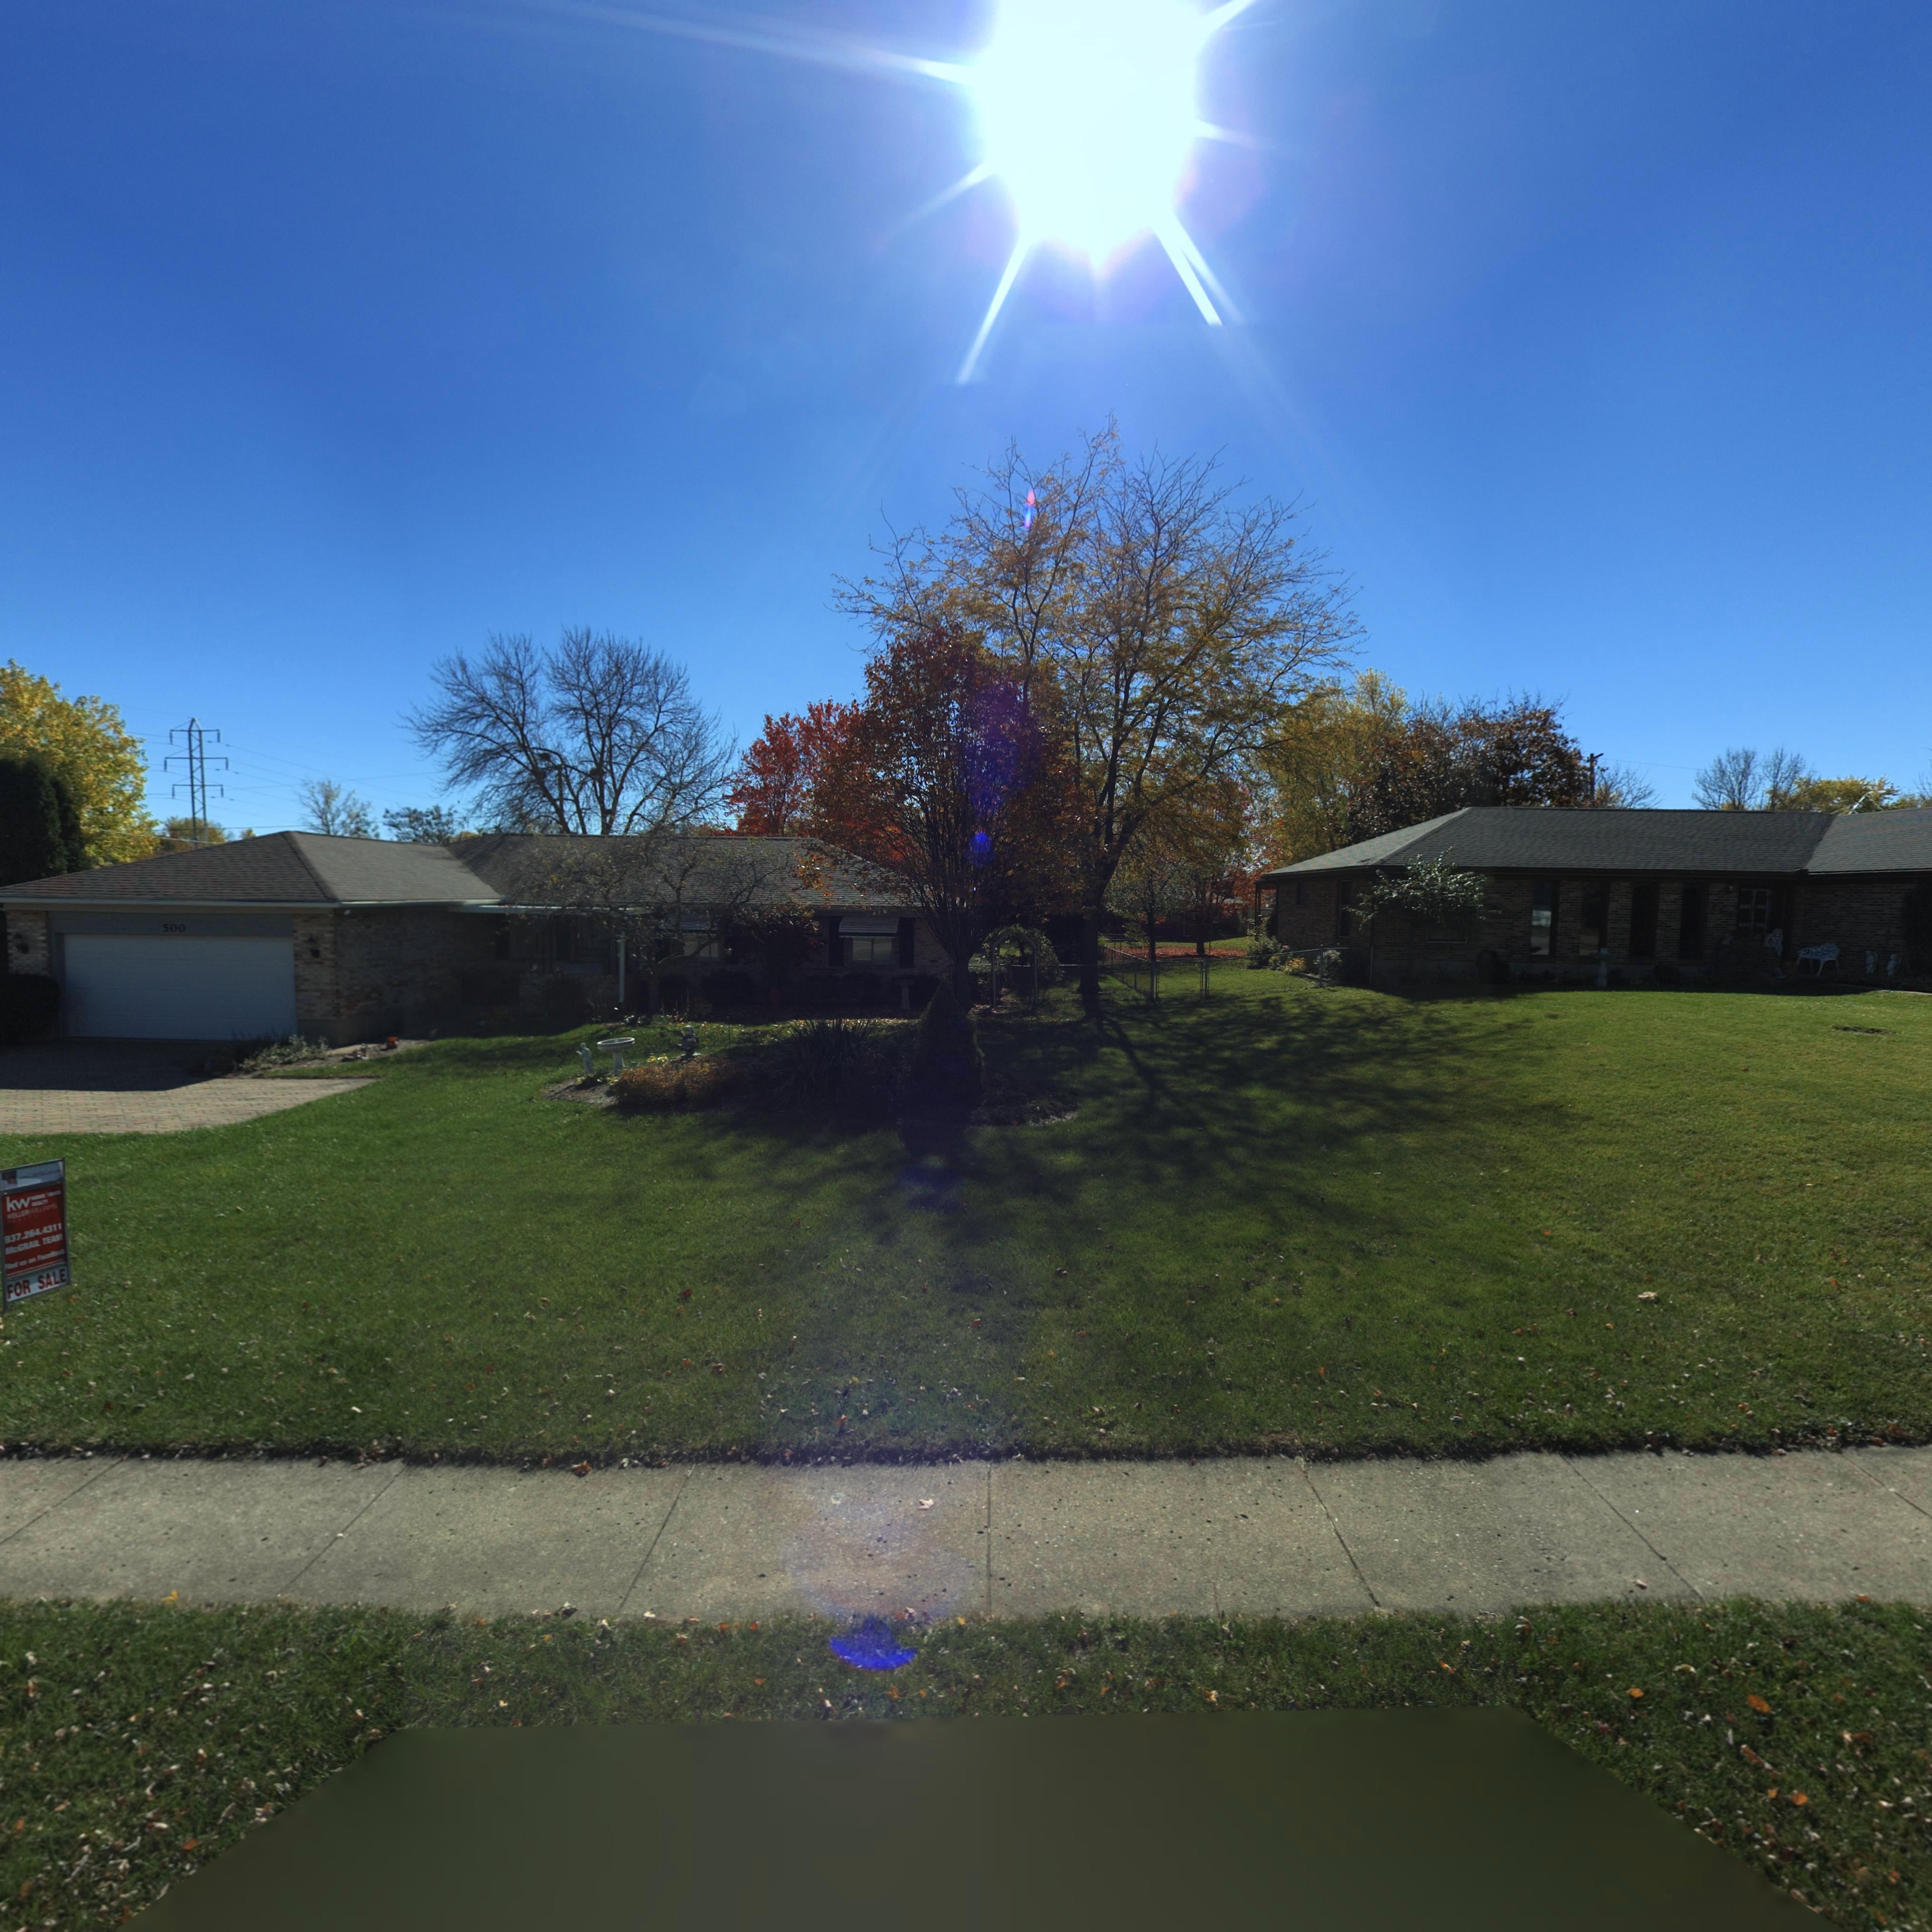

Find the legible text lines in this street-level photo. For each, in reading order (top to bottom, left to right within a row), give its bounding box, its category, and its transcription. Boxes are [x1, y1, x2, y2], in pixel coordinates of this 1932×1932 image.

[162, 923, 187, 933] StreetNumber: 500